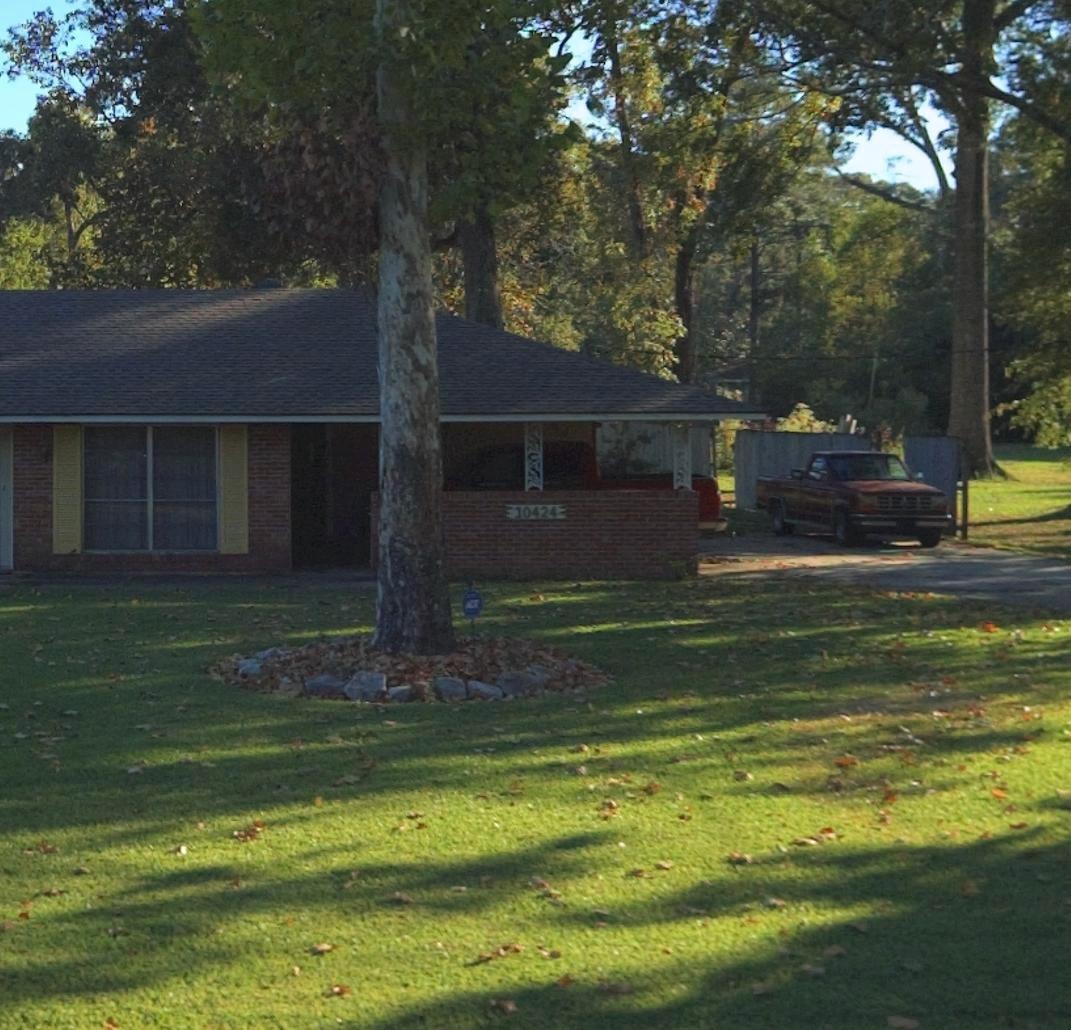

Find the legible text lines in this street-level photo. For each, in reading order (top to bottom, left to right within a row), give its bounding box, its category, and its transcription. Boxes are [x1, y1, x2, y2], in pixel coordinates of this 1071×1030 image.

[513, 505, 559, 519] StreetNumber: 10424